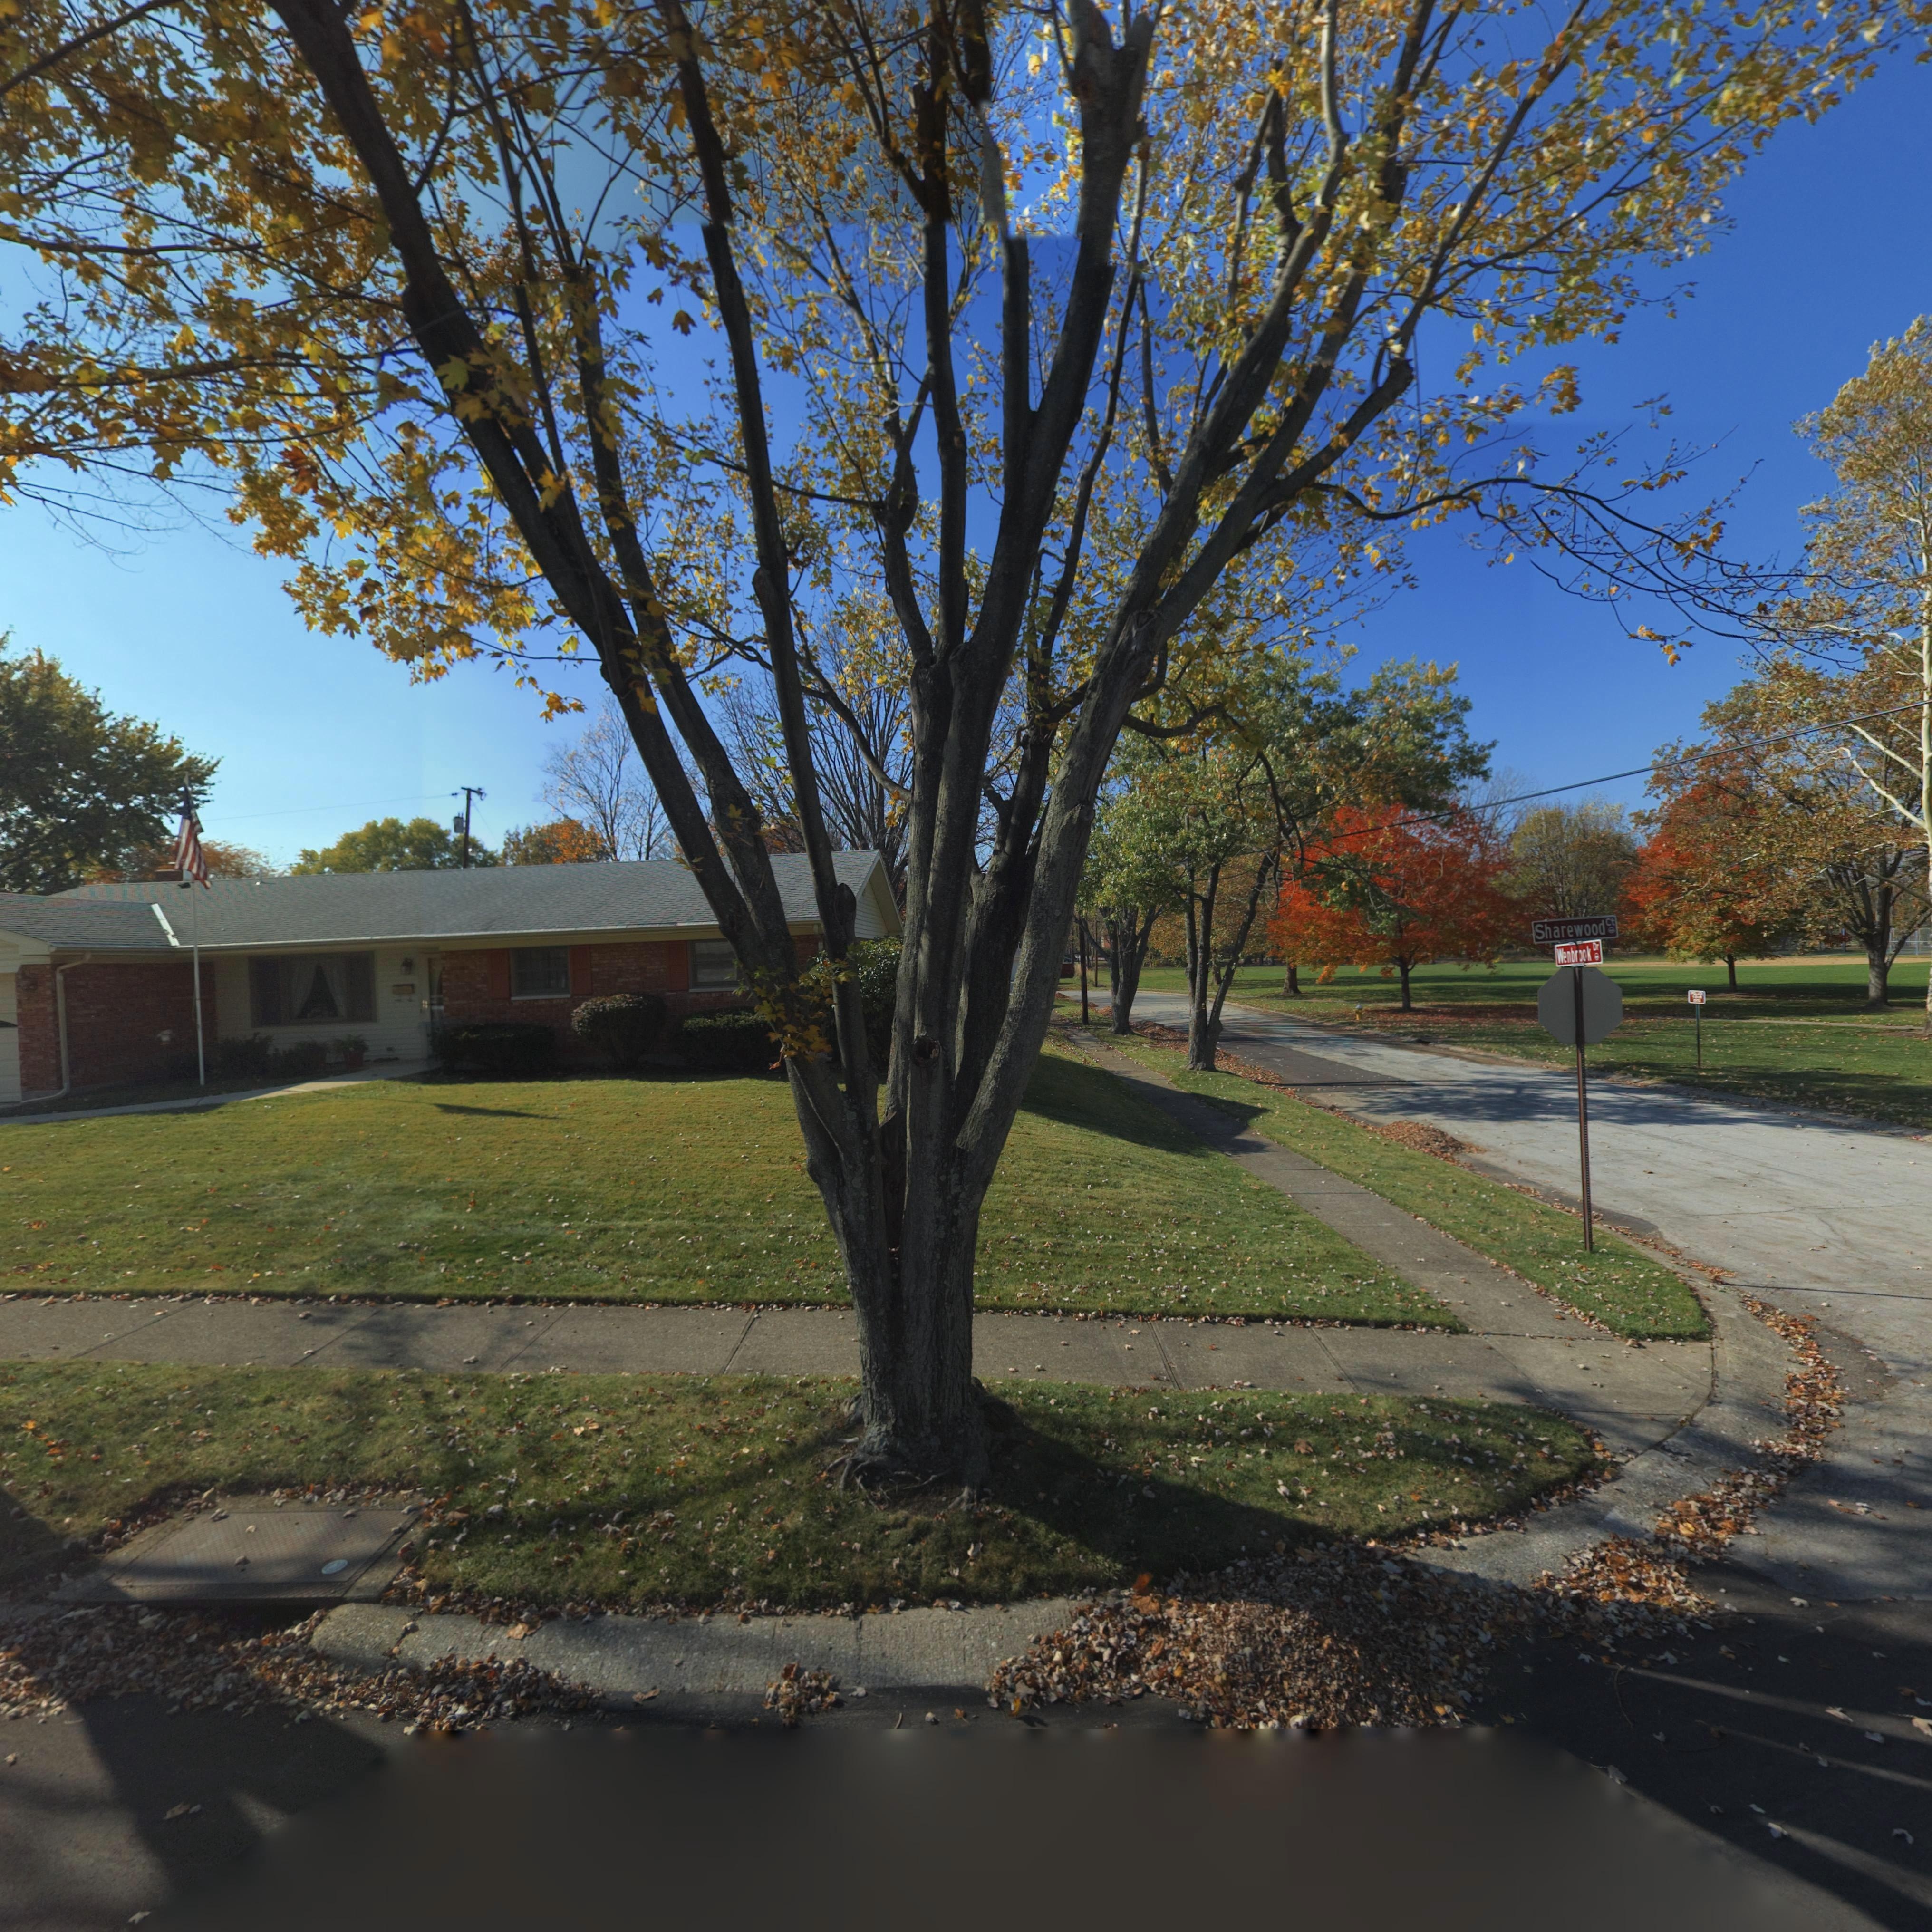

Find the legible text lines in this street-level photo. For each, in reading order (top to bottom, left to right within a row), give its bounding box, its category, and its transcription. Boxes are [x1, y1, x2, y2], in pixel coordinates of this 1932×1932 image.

[1533, 916, 1616, 942] StreetName: Sharewood Ct
[1555, 940, 1601, 966] StreetName: Wenbrook Dr